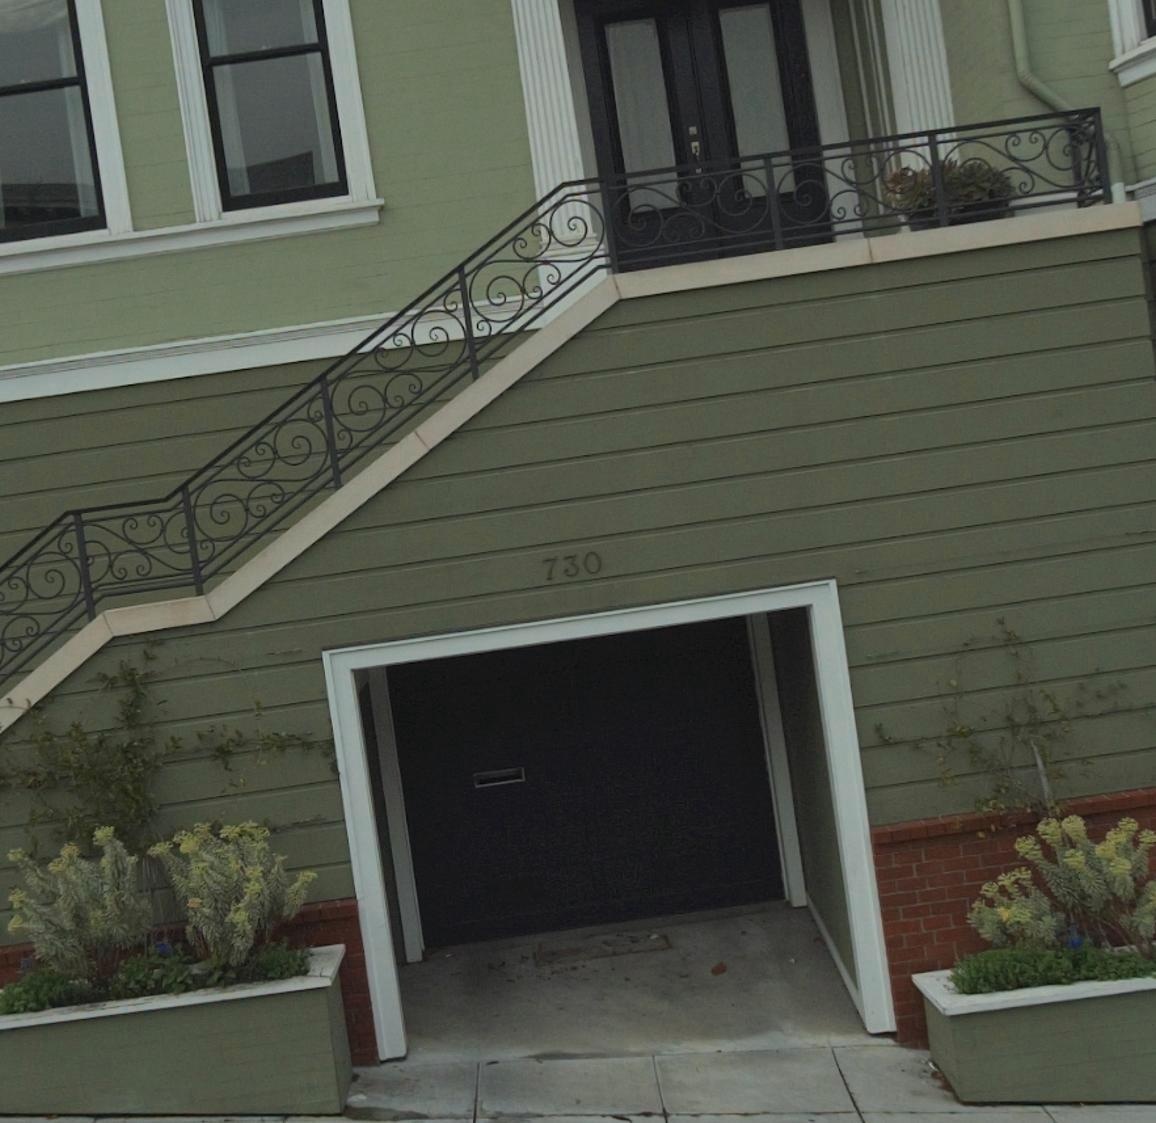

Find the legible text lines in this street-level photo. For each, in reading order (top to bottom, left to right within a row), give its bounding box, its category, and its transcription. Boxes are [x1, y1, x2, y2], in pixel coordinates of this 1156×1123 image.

[540, 548, 605, 582] StreetNumber: 730